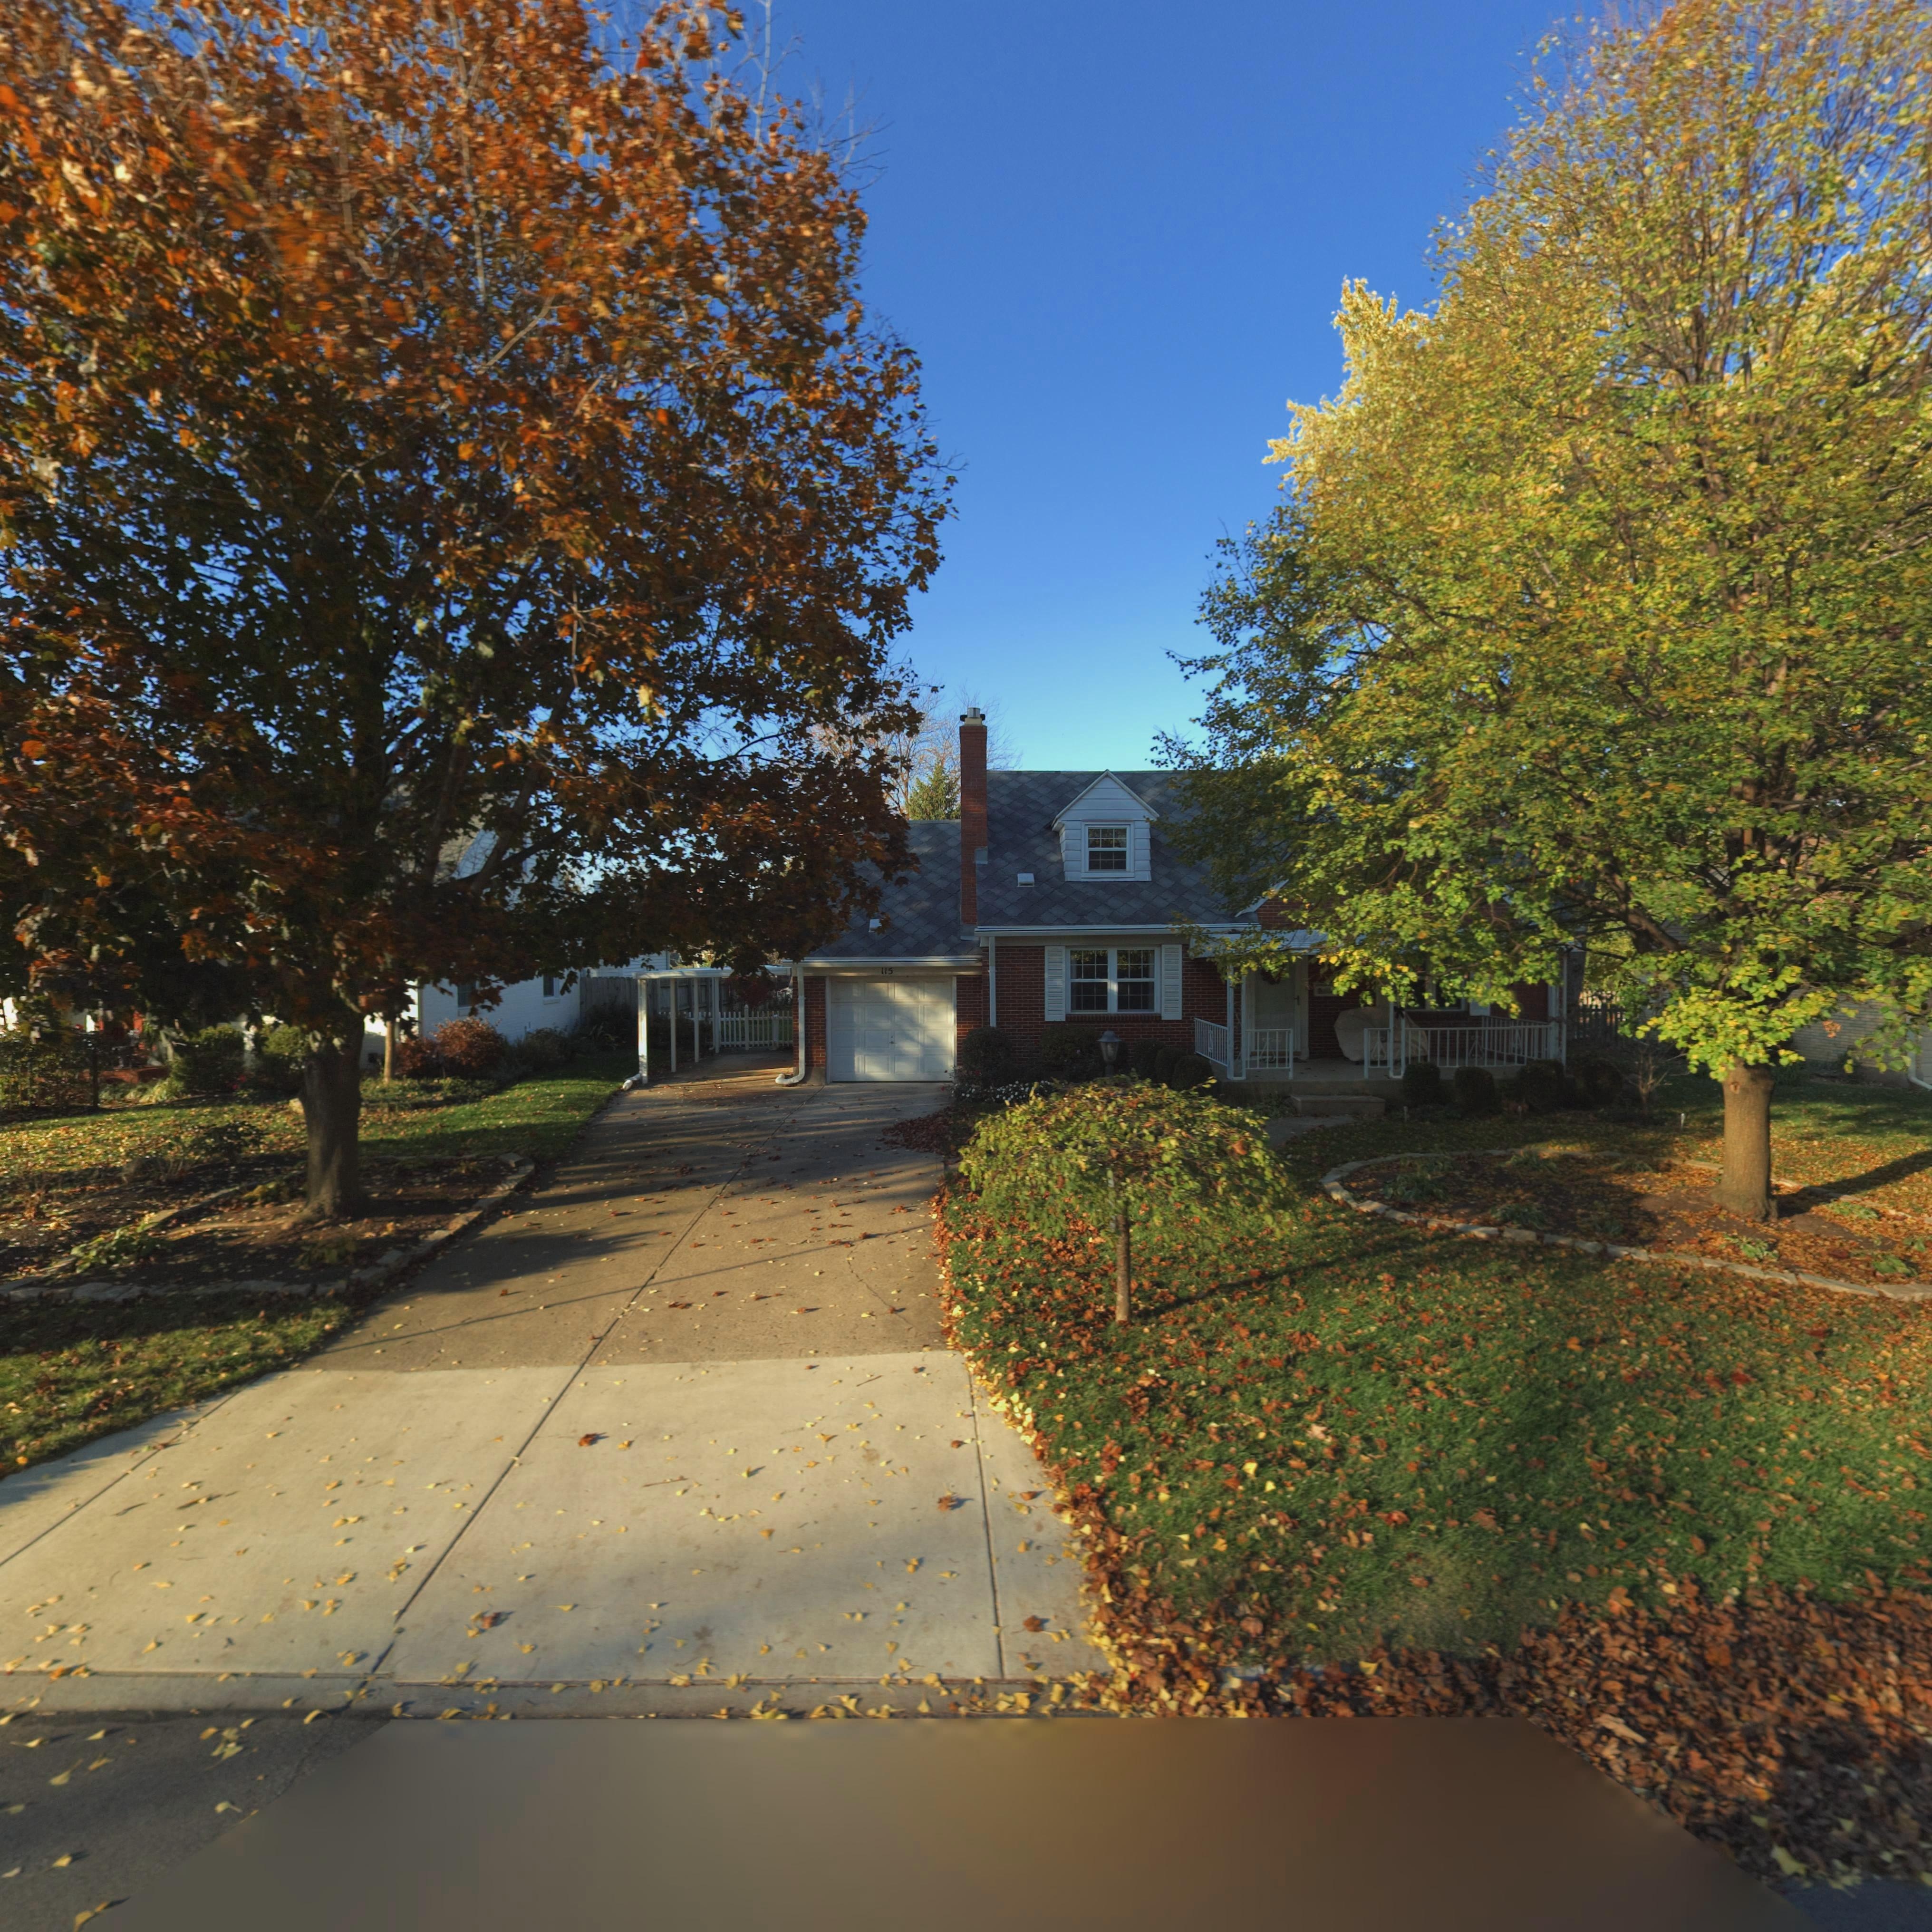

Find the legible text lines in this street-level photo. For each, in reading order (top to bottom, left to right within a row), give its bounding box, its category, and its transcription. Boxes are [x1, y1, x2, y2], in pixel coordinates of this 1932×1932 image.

[880, 966, 894, 976] StreetNumber: 115